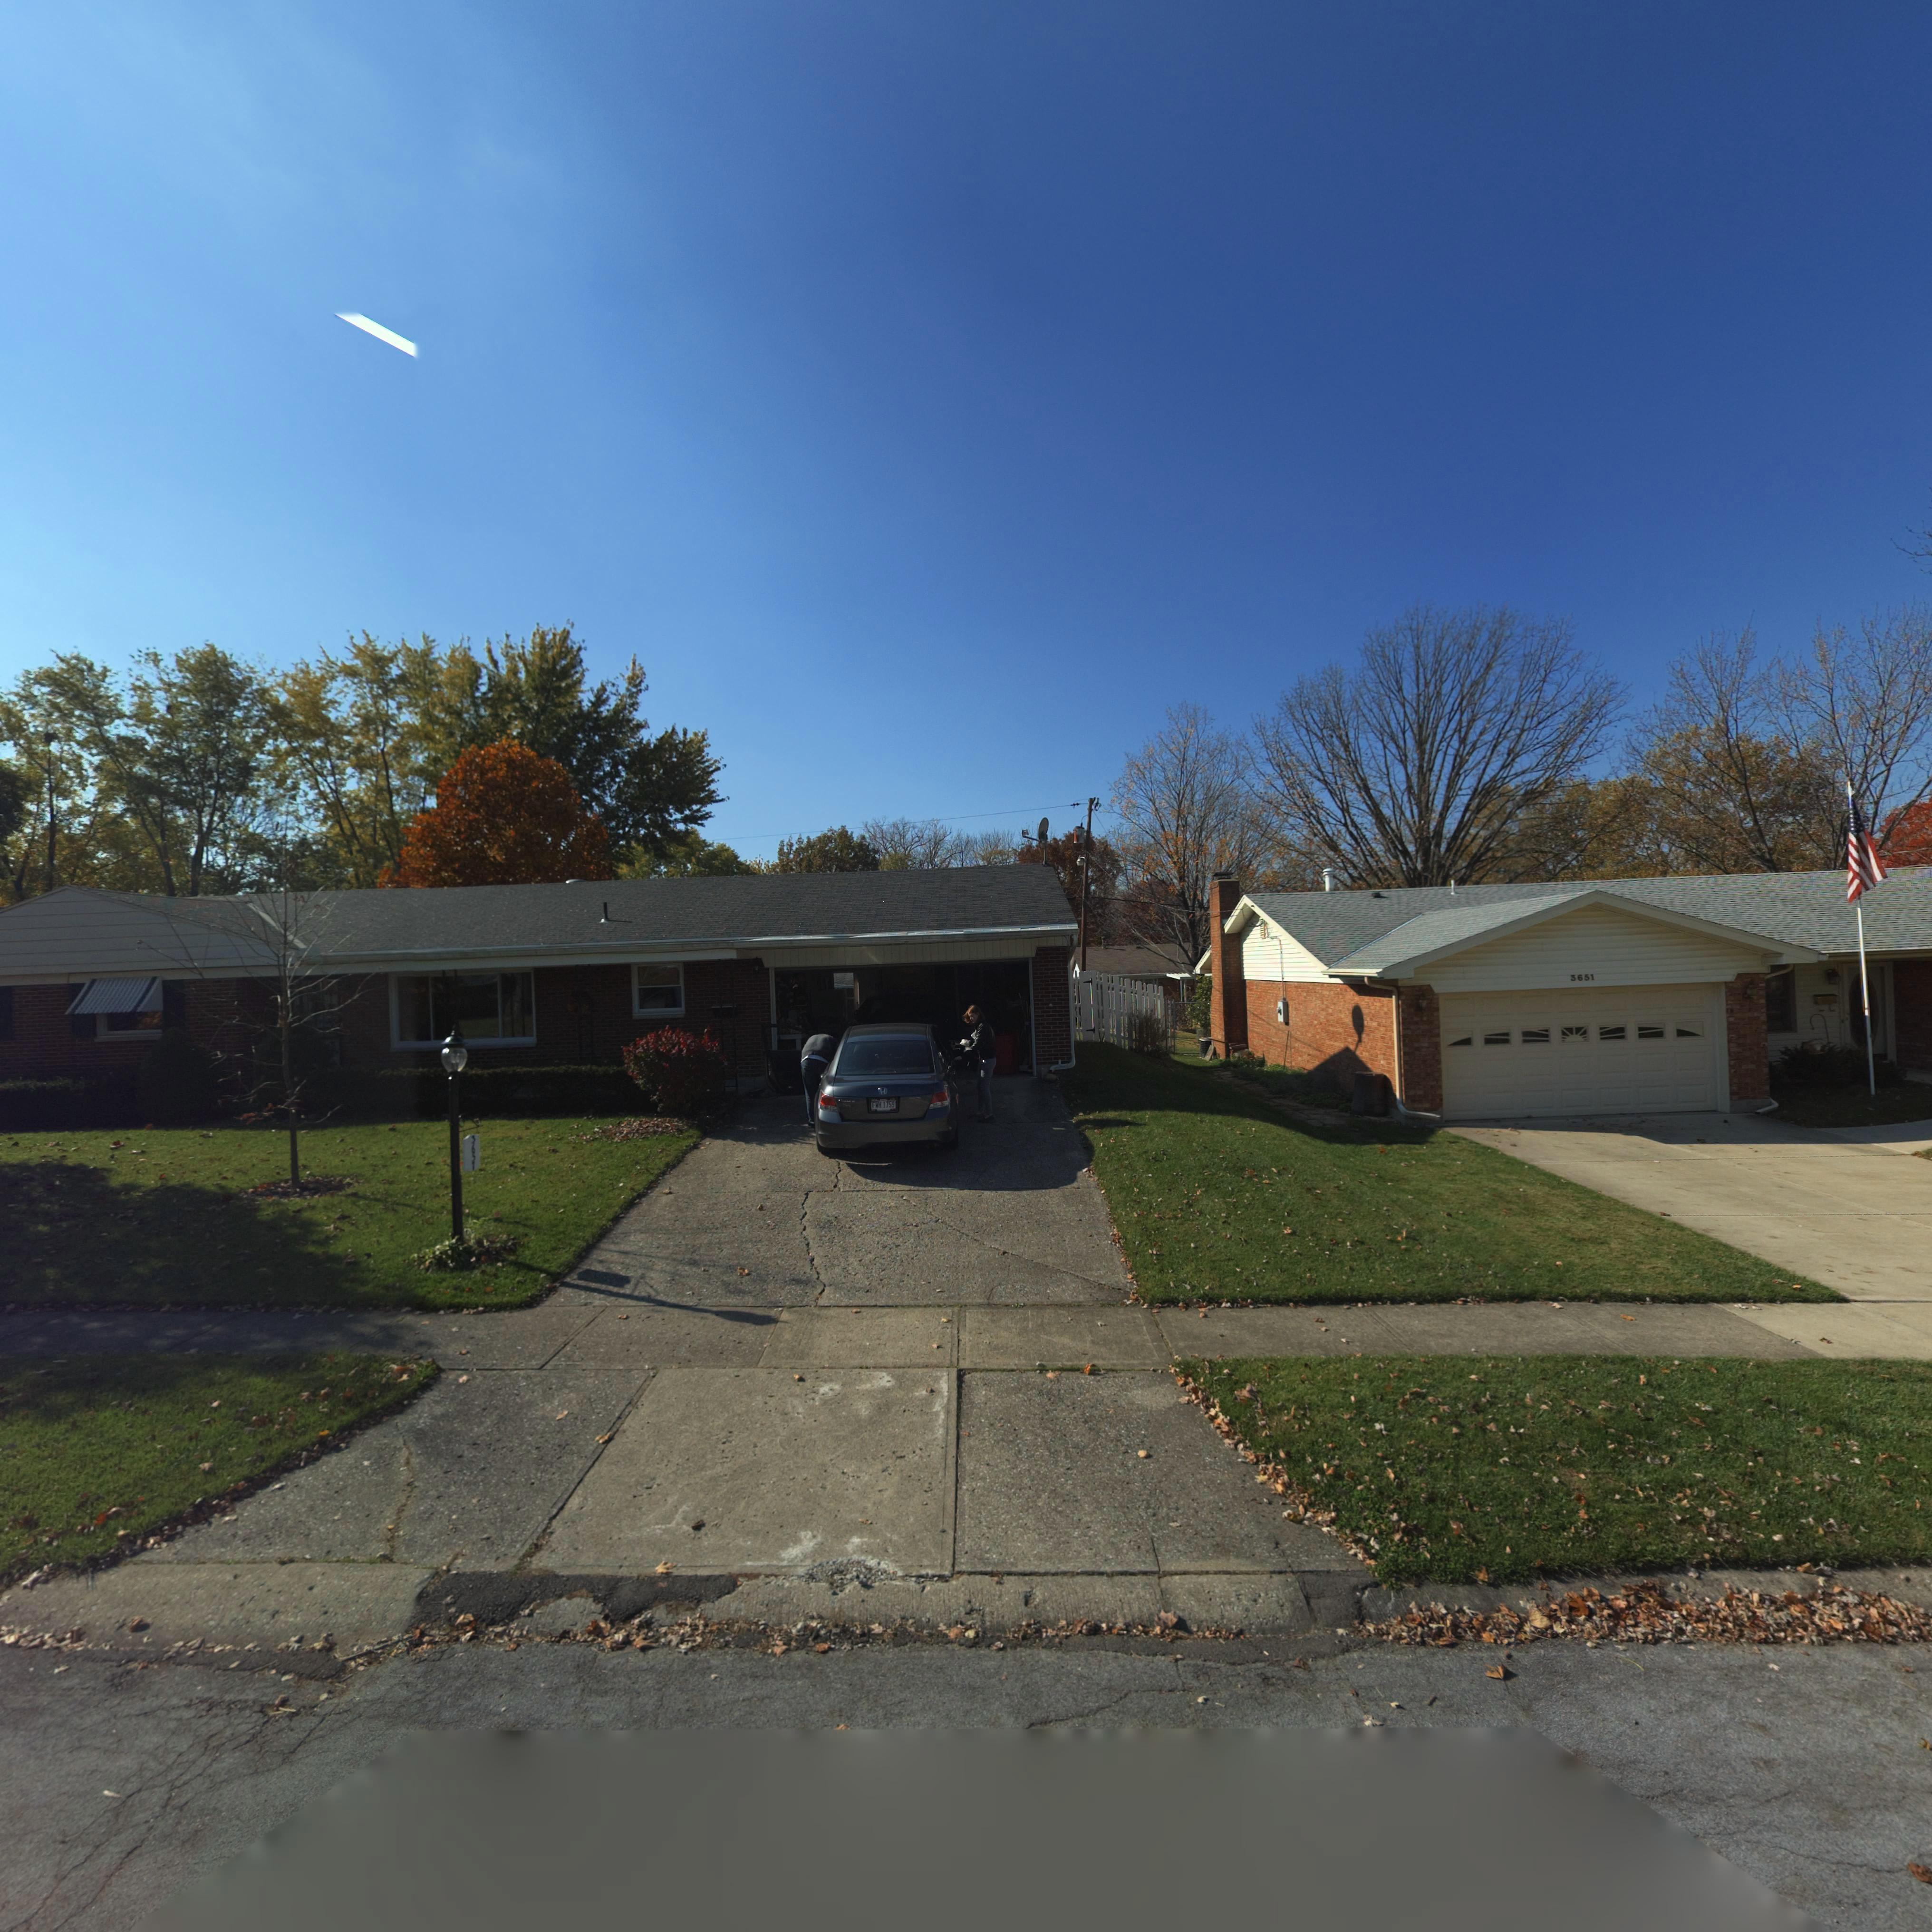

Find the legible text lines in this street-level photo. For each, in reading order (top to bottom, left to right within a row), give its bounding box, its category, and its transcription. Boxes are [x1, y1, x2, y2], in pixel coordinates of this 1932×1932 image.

[1569, 973, 1595, 982] StreetNumber: 3651
[879, 1087, 886, 1094] None: H
[871, 1100, 895, 1109] None: FWH 1759
[470, 1135, 476, 1171] StreetNumber: 3657